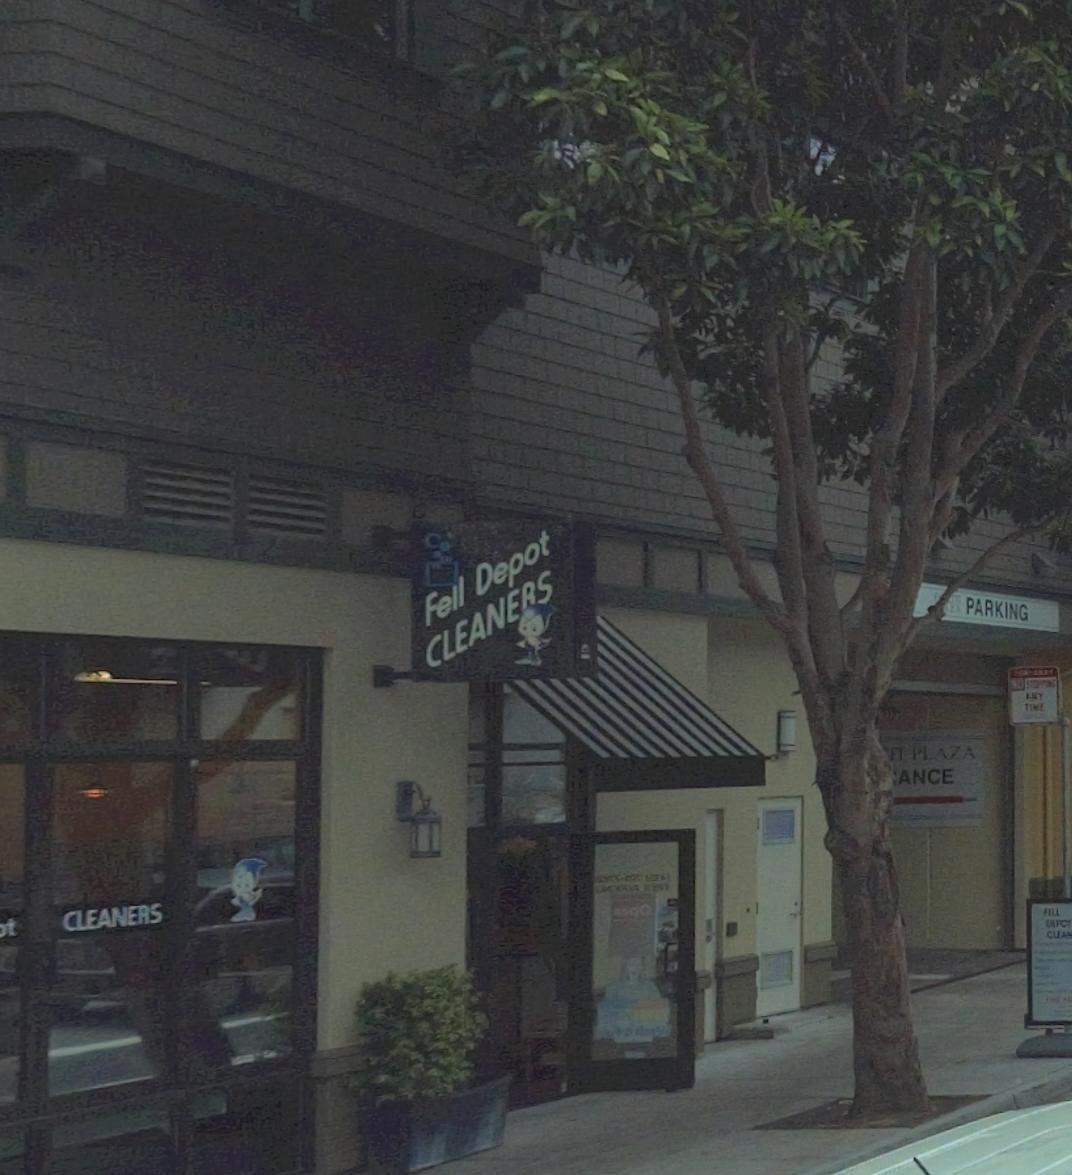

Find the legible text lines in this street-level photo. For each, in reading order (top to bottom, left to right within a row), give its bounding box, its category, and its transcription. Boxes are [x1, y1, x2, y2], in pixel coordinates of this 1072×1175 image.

[424, 524, 552, 629] BusinessName: Fell Depot
[964, 595, 1030, 623] None: PARKING
[420, 564, 555, 675] BusinessName: CLEANERS
[1009, 676, 1026, 691] None: NO
[1024, 691, 1046, 701] None: ANY
[1023, 701, 1047, 714] None: TIME
[893, 744, 979, 762] None: ET PLAZA
[896, 767, 955, 787] None: ANCE
[7, 914, 20, 938] BusinessName: t
[60, 901, 164, 934] BusinessName: CLEANERS
[638, 903, 651, 920] None: O
[1045, 929, 1058, 941] None: CL
[1042, 906, 1062, 917] None: FELL